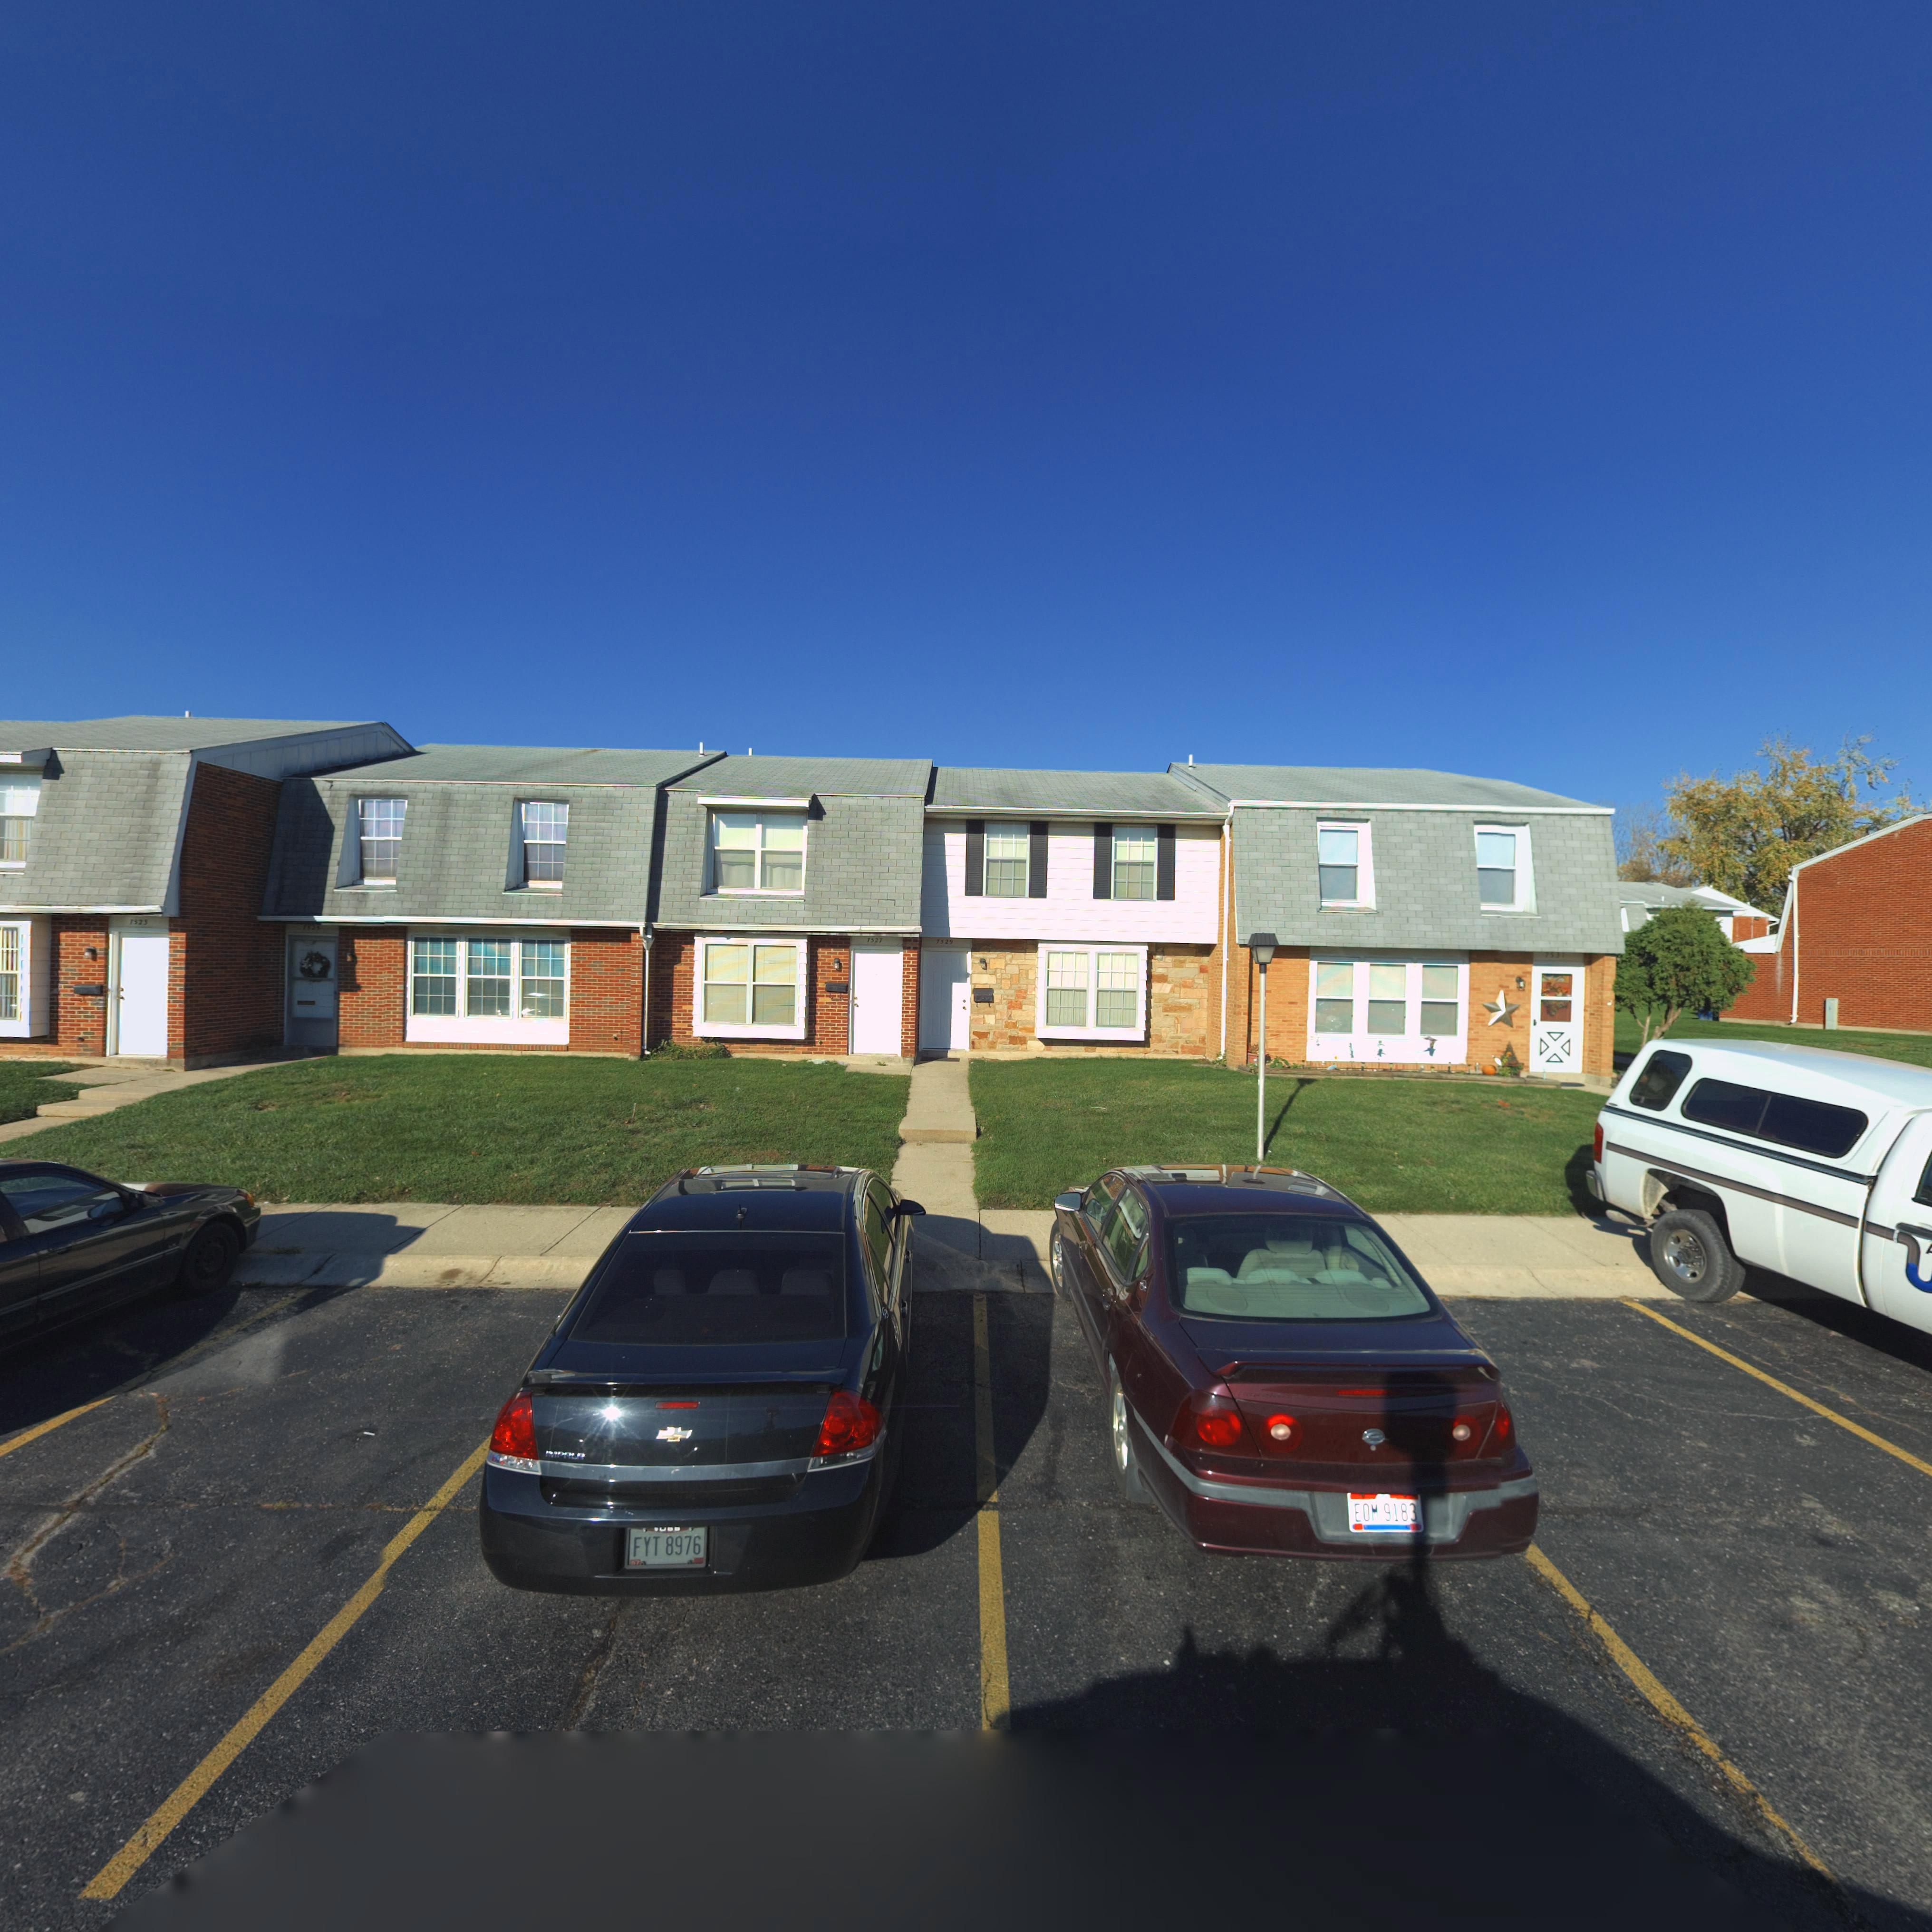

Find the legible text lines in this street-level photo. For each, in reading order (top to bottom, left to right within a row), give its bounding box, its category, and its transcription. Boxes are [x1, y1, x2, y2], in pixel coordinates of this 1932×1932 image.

[129, 918, 148, 926] StreetNumber: 7523
[302, 925, 320, 931] StreetNumber: 7525
[867, 937, 883, 943] StreetNumber: 7527
[936, 939, 954, 945] StreetNumber: 7529
[1544, 952, 1565, 958] StreetNumber: 7531